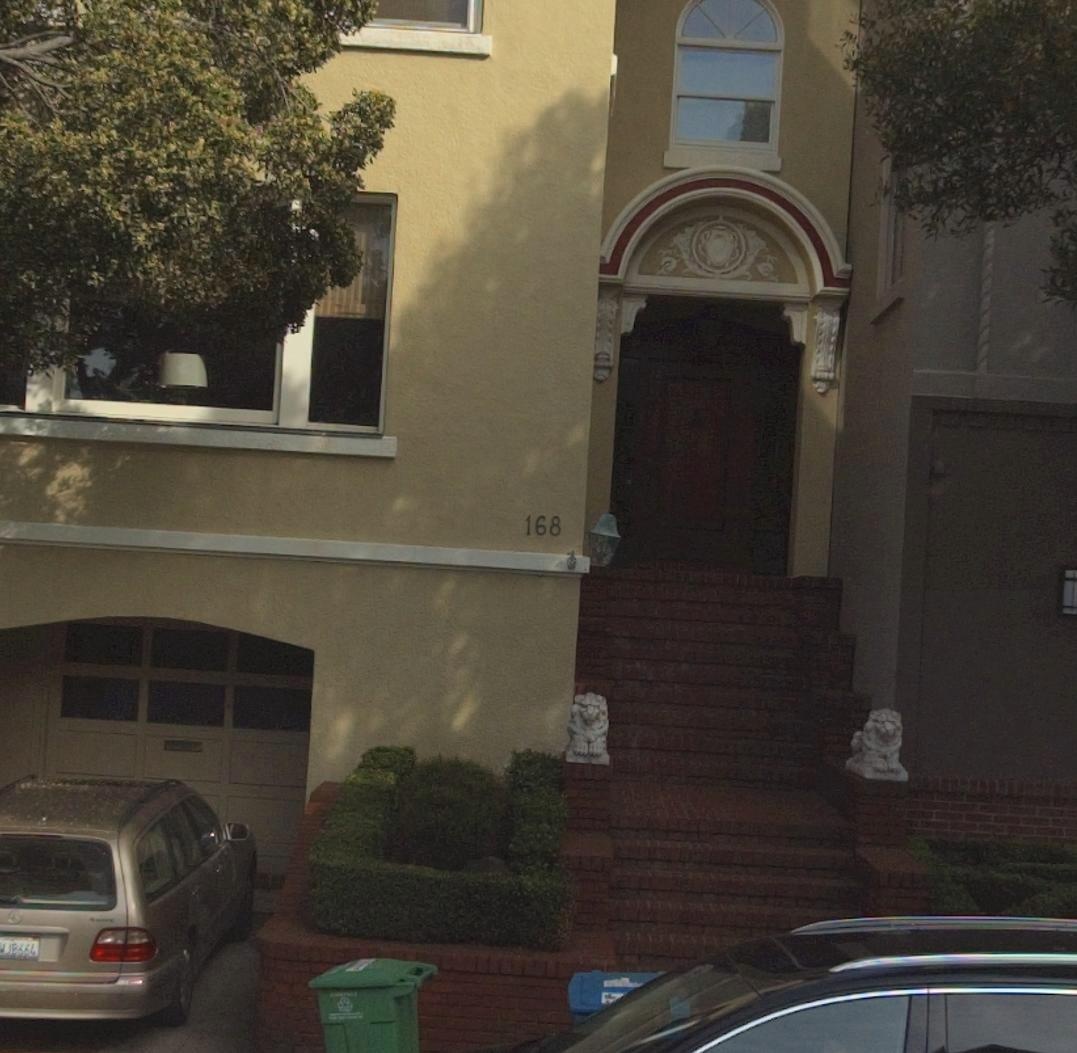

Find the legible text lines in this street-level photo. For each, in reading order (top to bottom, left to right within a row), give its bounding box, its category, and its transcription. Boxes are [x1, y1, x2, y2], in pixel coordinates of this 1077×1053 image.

[522, 514, 562, 538] StreetNumber: 168
[0, 940, 38, 958] None: WJP*64